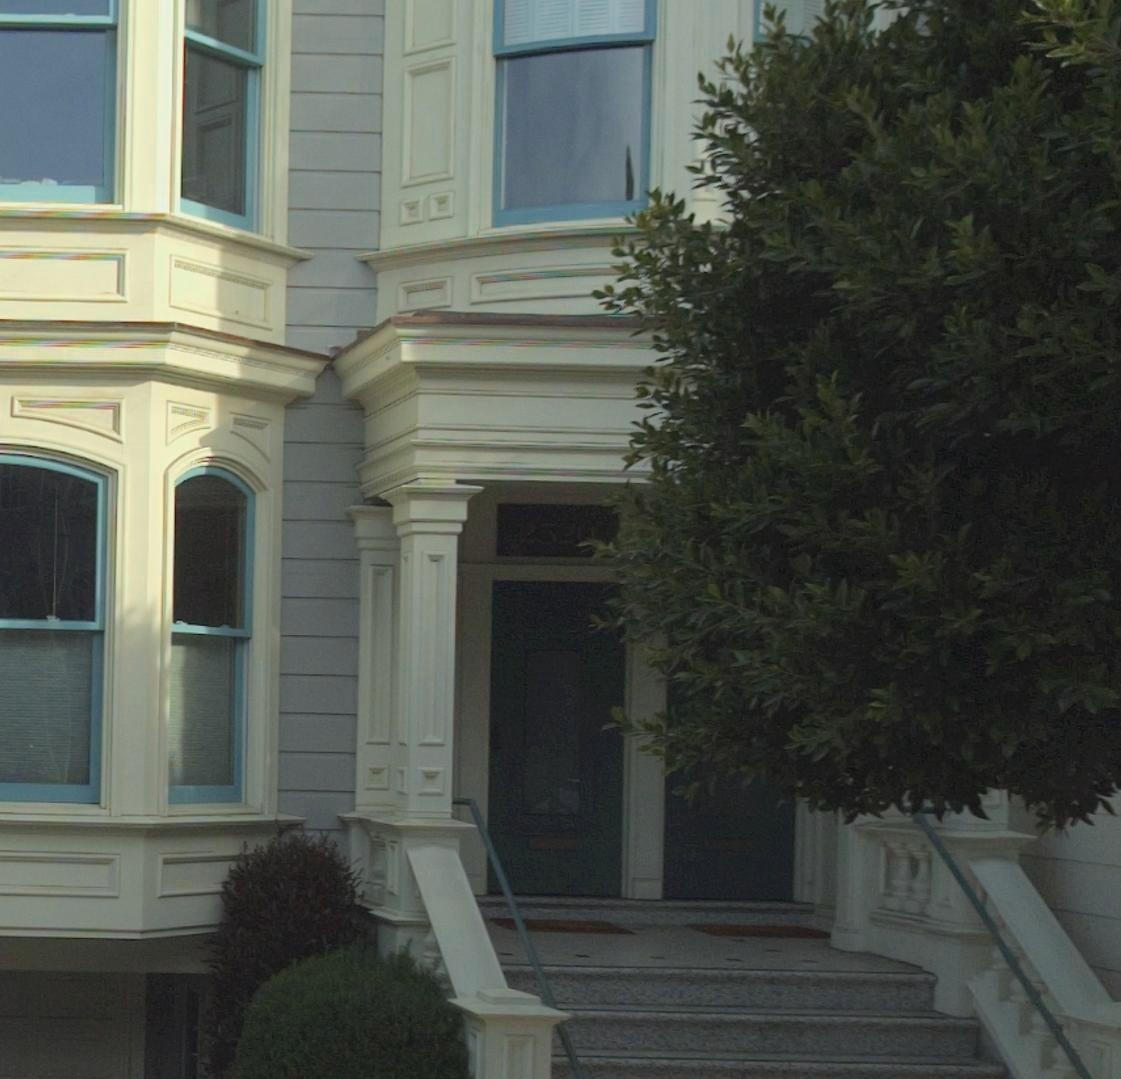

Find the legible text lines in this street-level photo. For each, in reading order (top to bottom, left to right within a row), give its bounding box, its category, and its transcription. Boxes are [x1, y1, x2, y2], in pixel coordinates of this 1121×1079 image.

[518, 519, 597, 547] StreetNumber: 2520